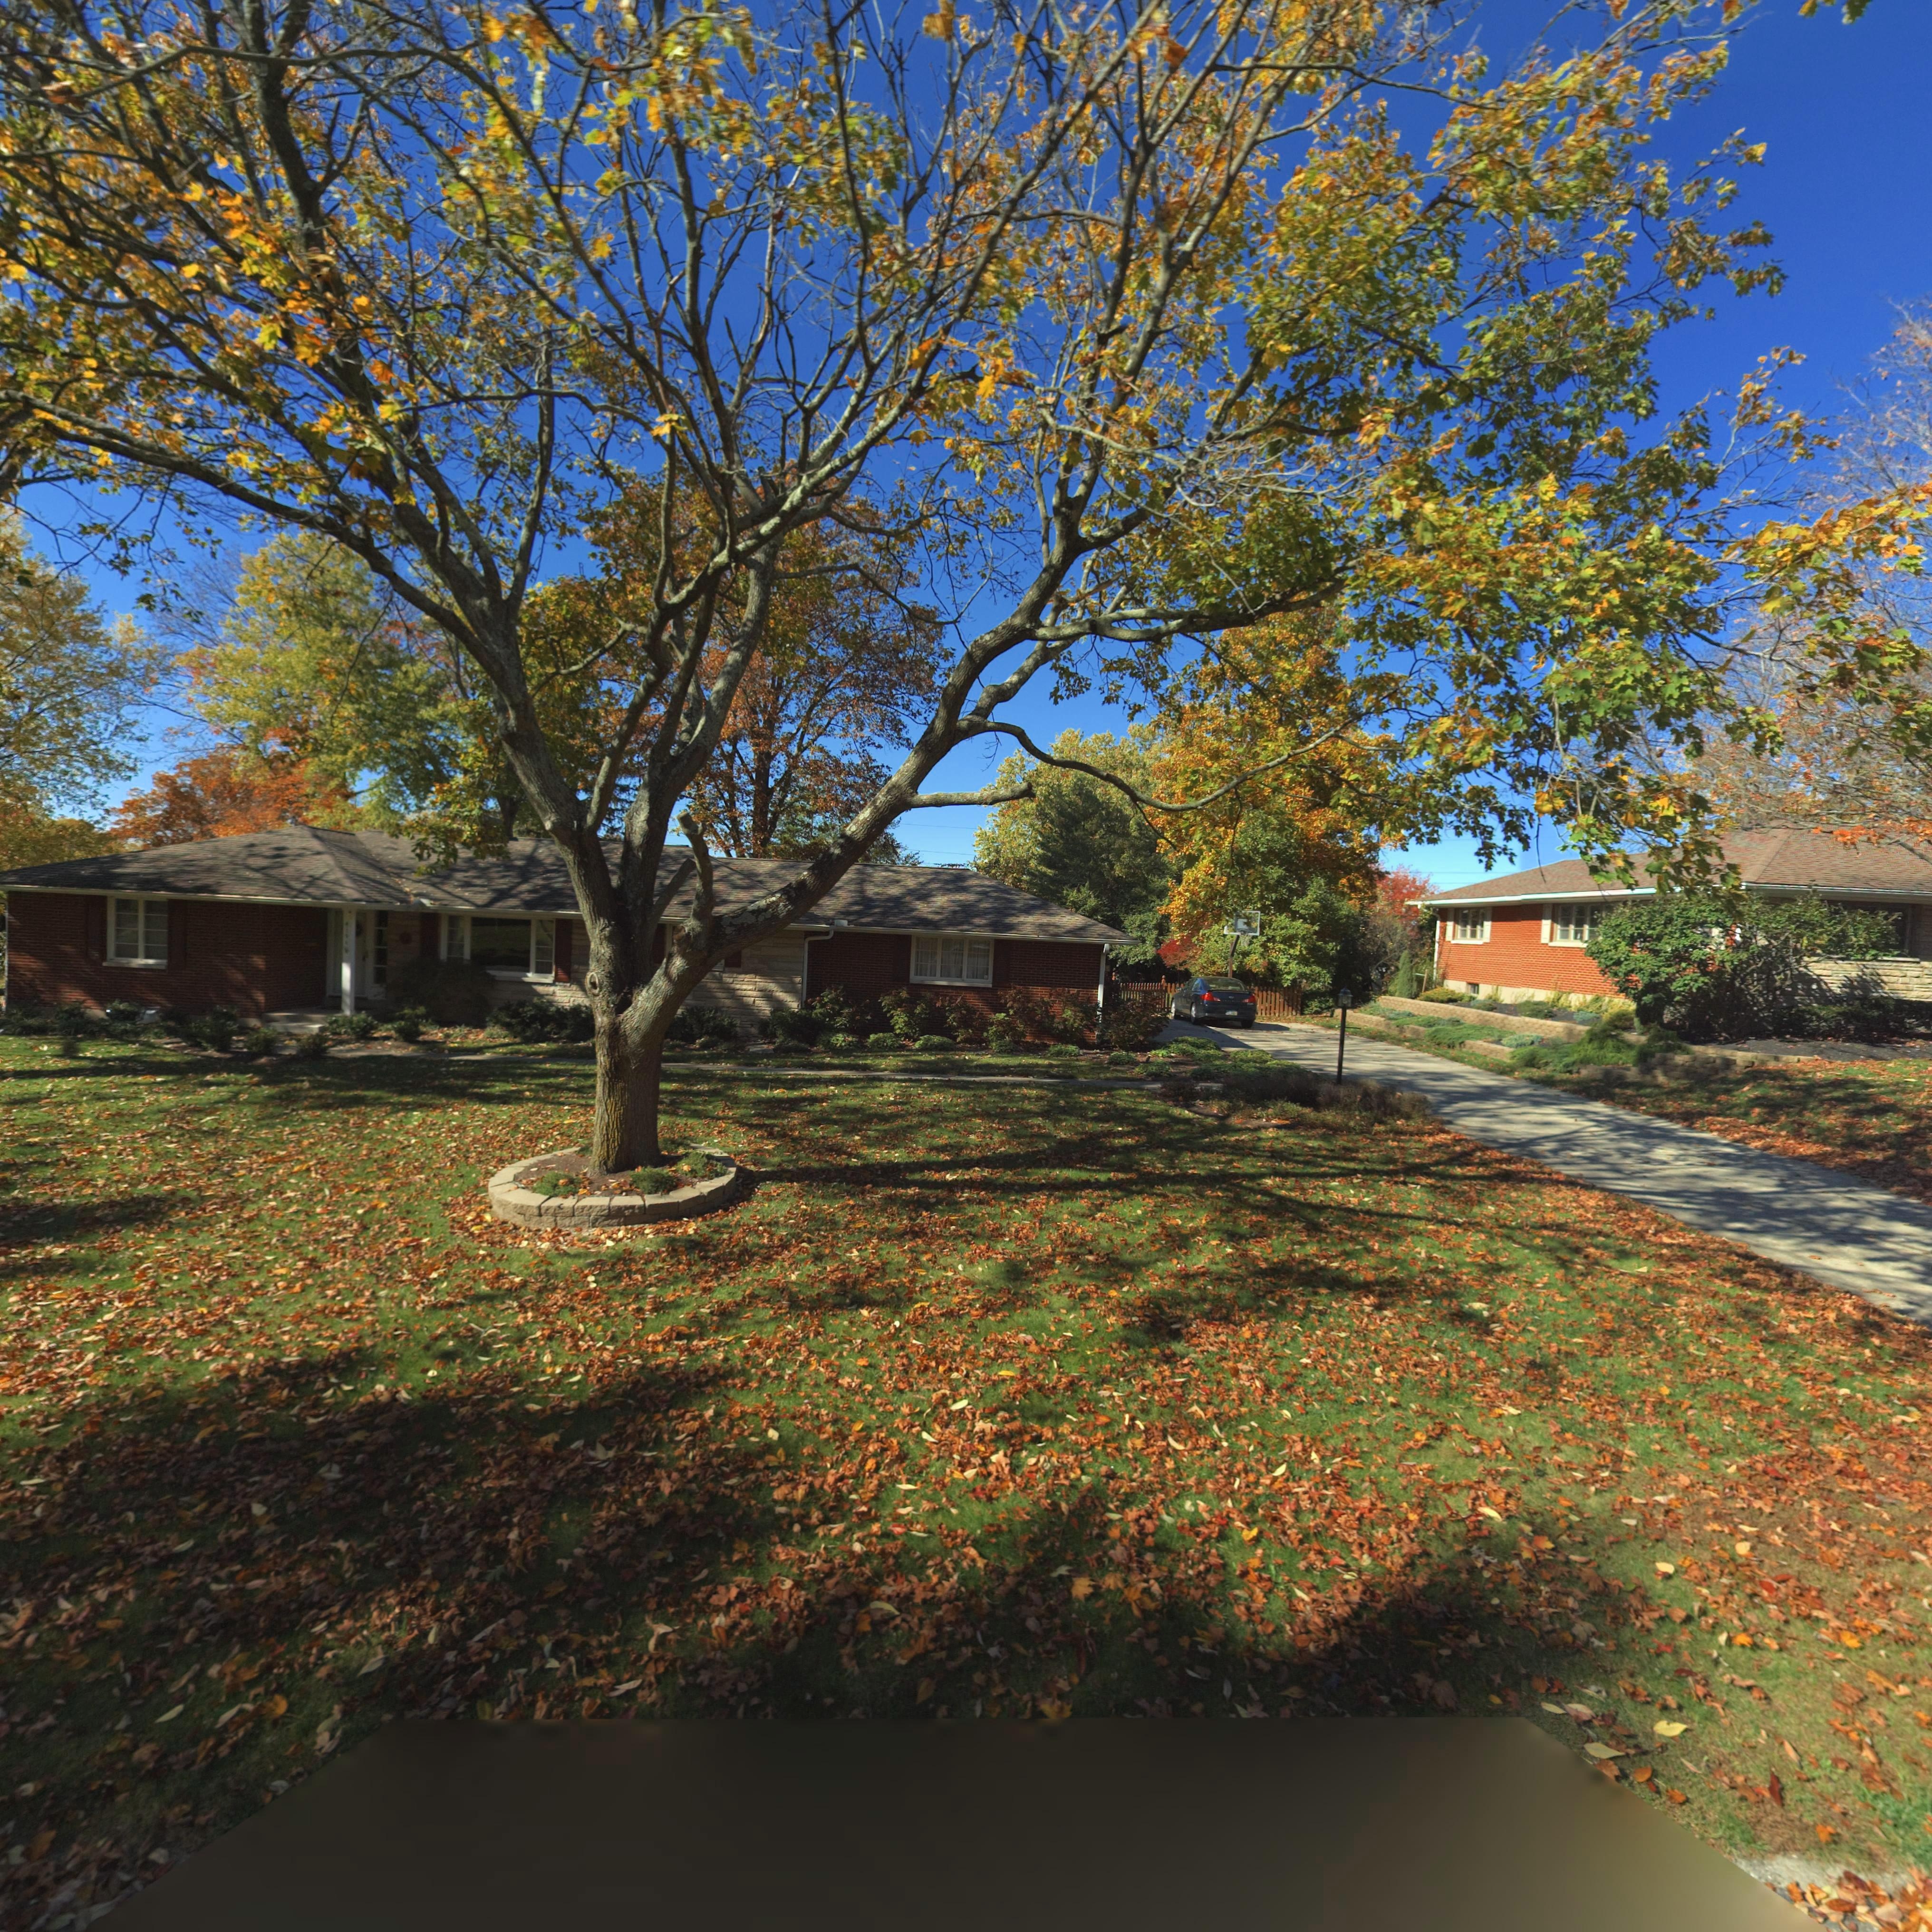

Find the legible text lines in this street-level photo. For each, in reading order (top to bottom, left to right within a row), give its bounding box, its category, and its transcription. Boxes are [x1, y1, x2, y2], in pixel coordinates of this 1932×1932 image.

[343, 921, 349, 946] StreetNumber: 41**